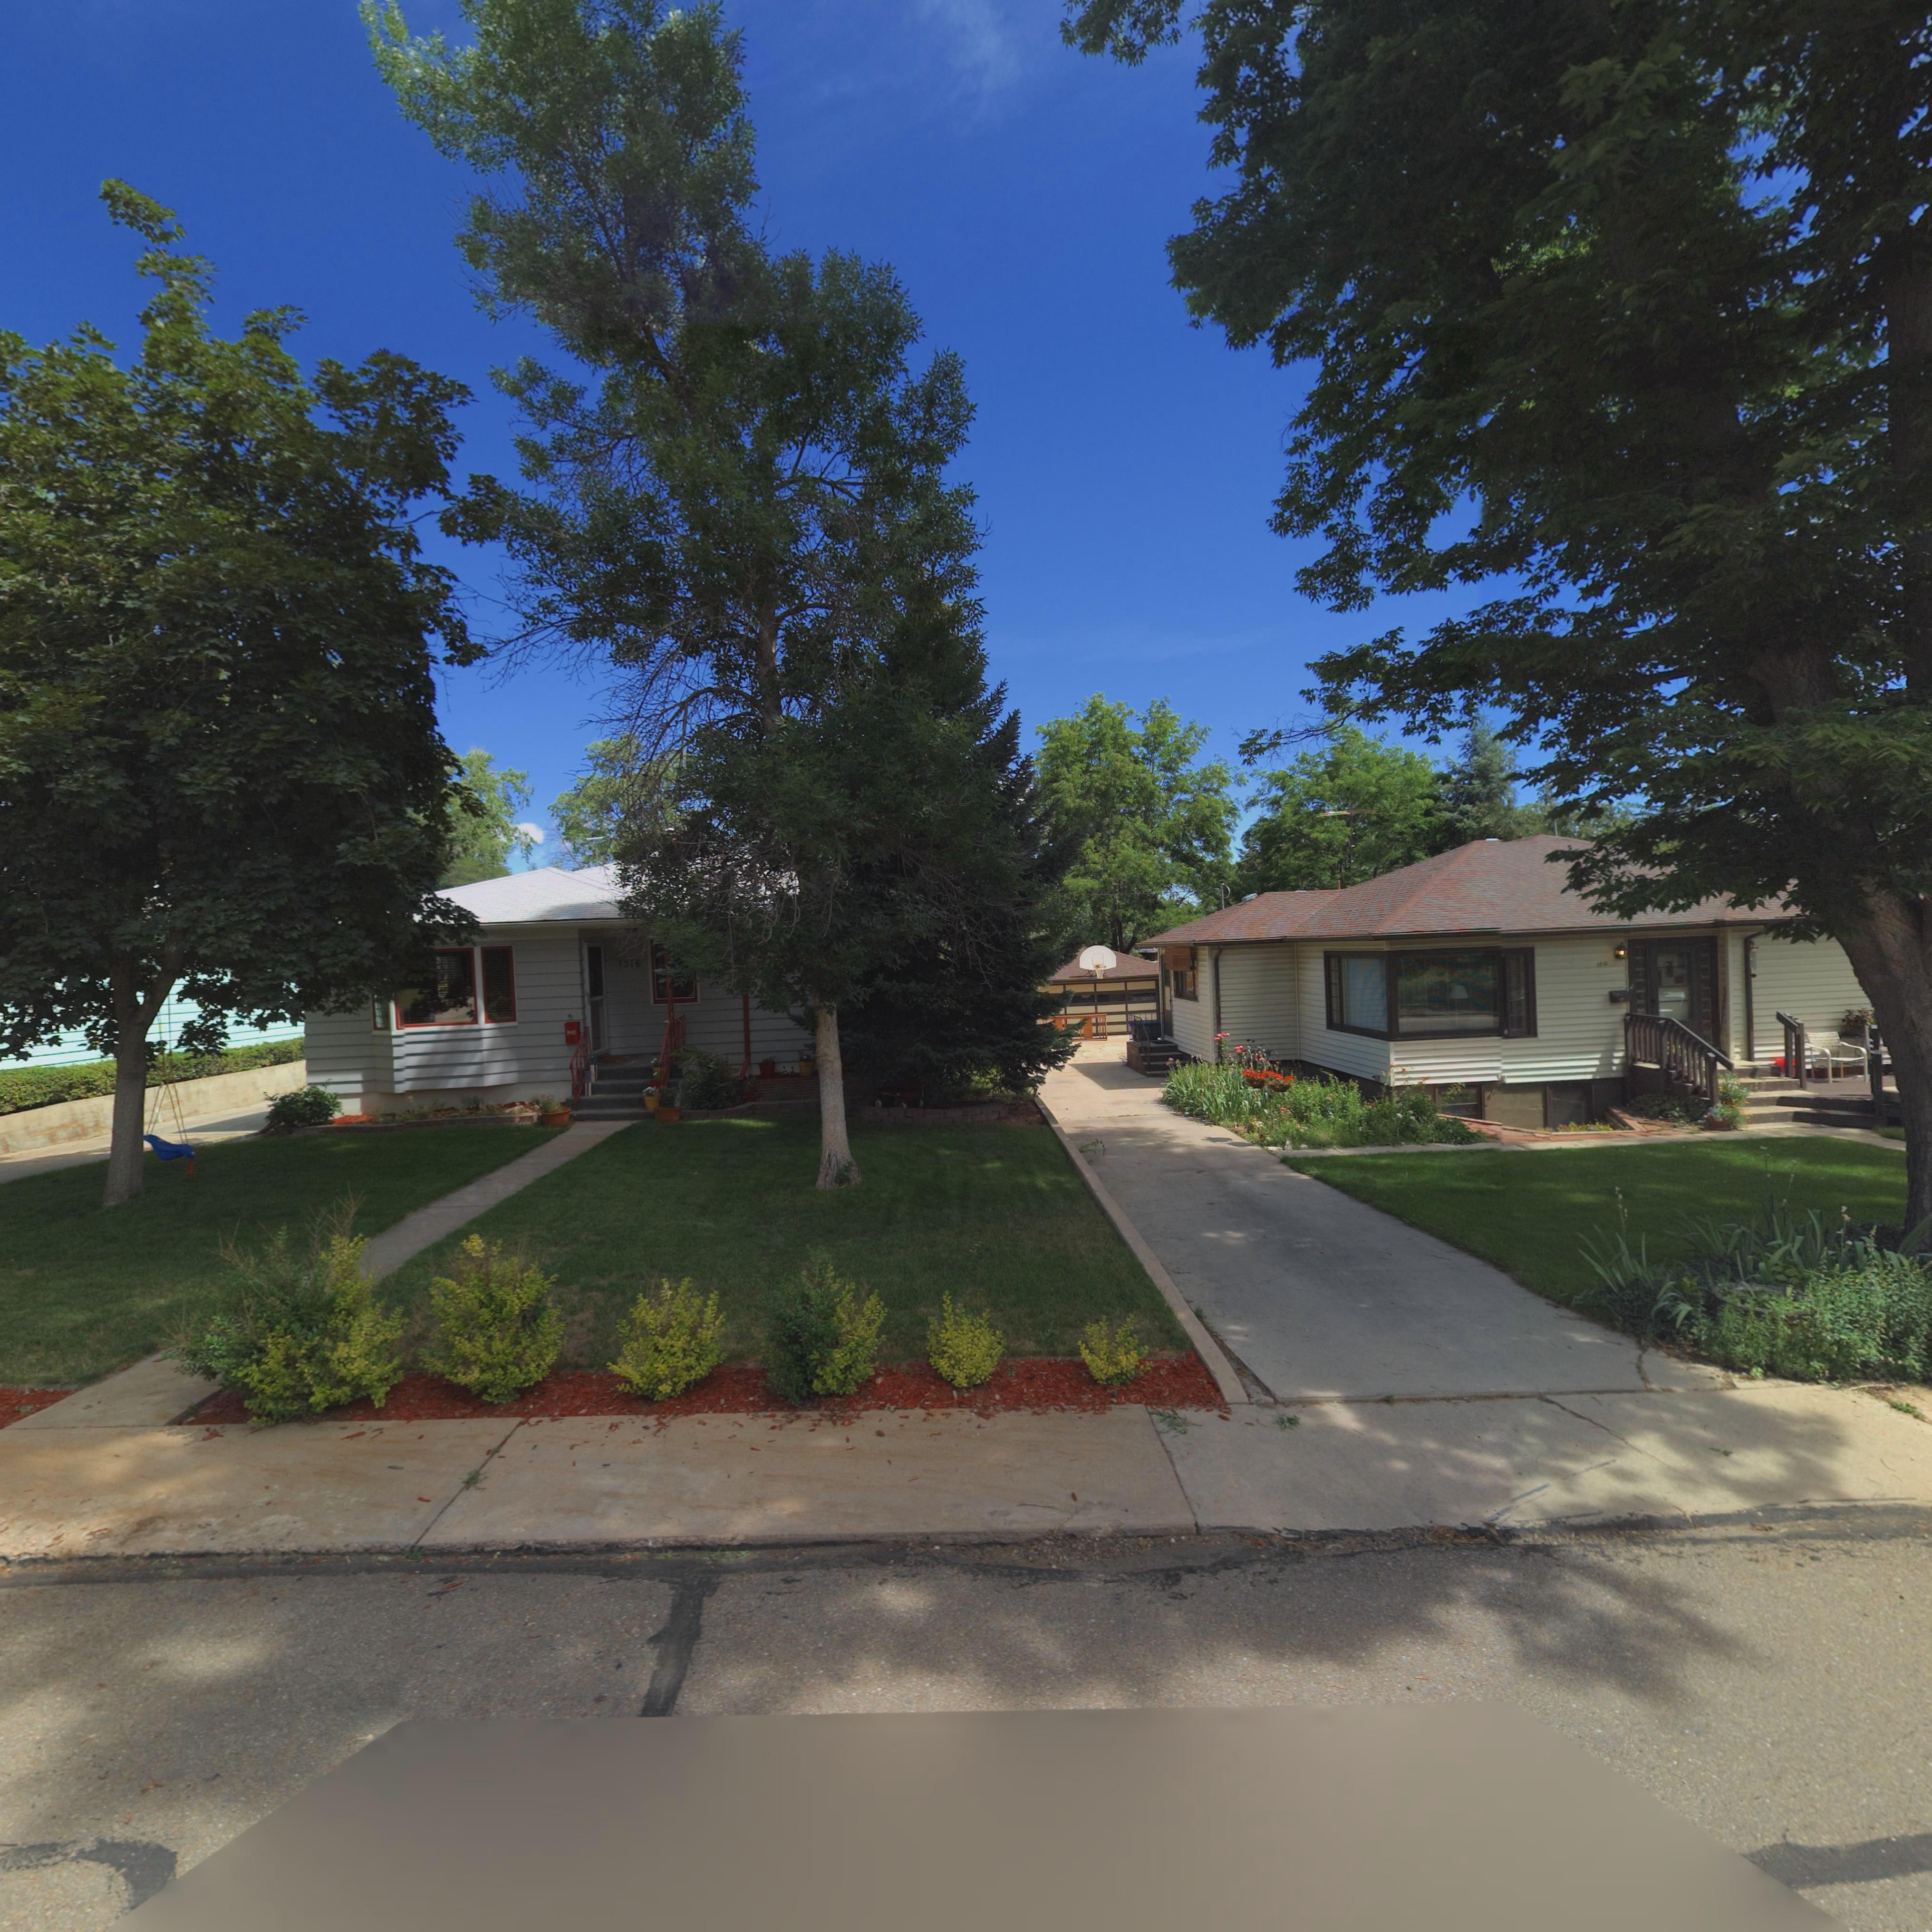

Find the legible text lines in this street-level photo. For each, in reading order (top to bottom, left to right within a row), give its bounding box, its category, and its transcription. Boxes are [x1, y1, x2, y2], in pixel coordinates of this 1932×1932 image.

[618, 957, 641, 968] StreetNumber: 1316
[1596, 961, 1608, 967] StreetNumber: 13*2